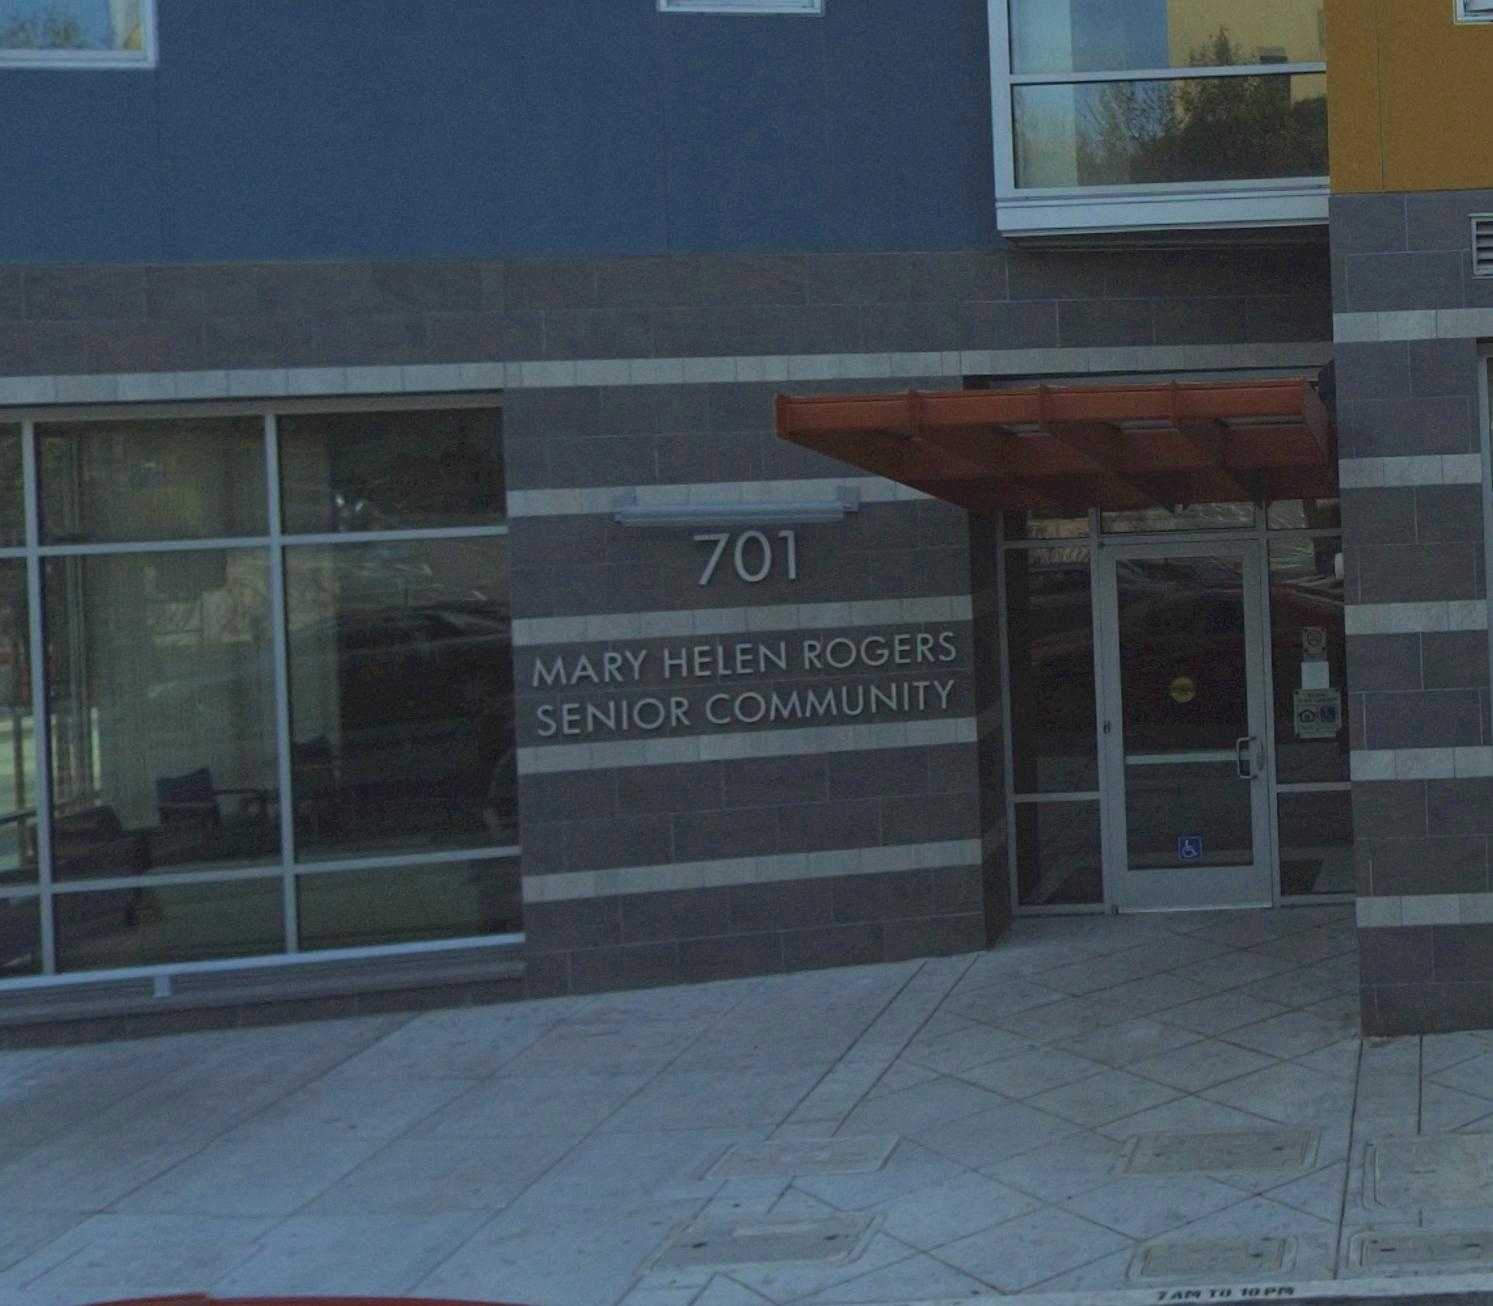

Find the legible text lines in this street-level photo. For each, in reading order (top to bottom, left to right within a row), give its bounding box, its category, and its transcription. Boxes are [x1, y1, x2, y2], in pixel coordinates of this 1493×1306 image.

[688, 525, 801, 591] StreetNumber: 701
[529, 629, 959, 691] BusinessName: MARY HELEN ROGERS
[531, 676, 958, 739] BusinessName: SENIOR COMMUNITY